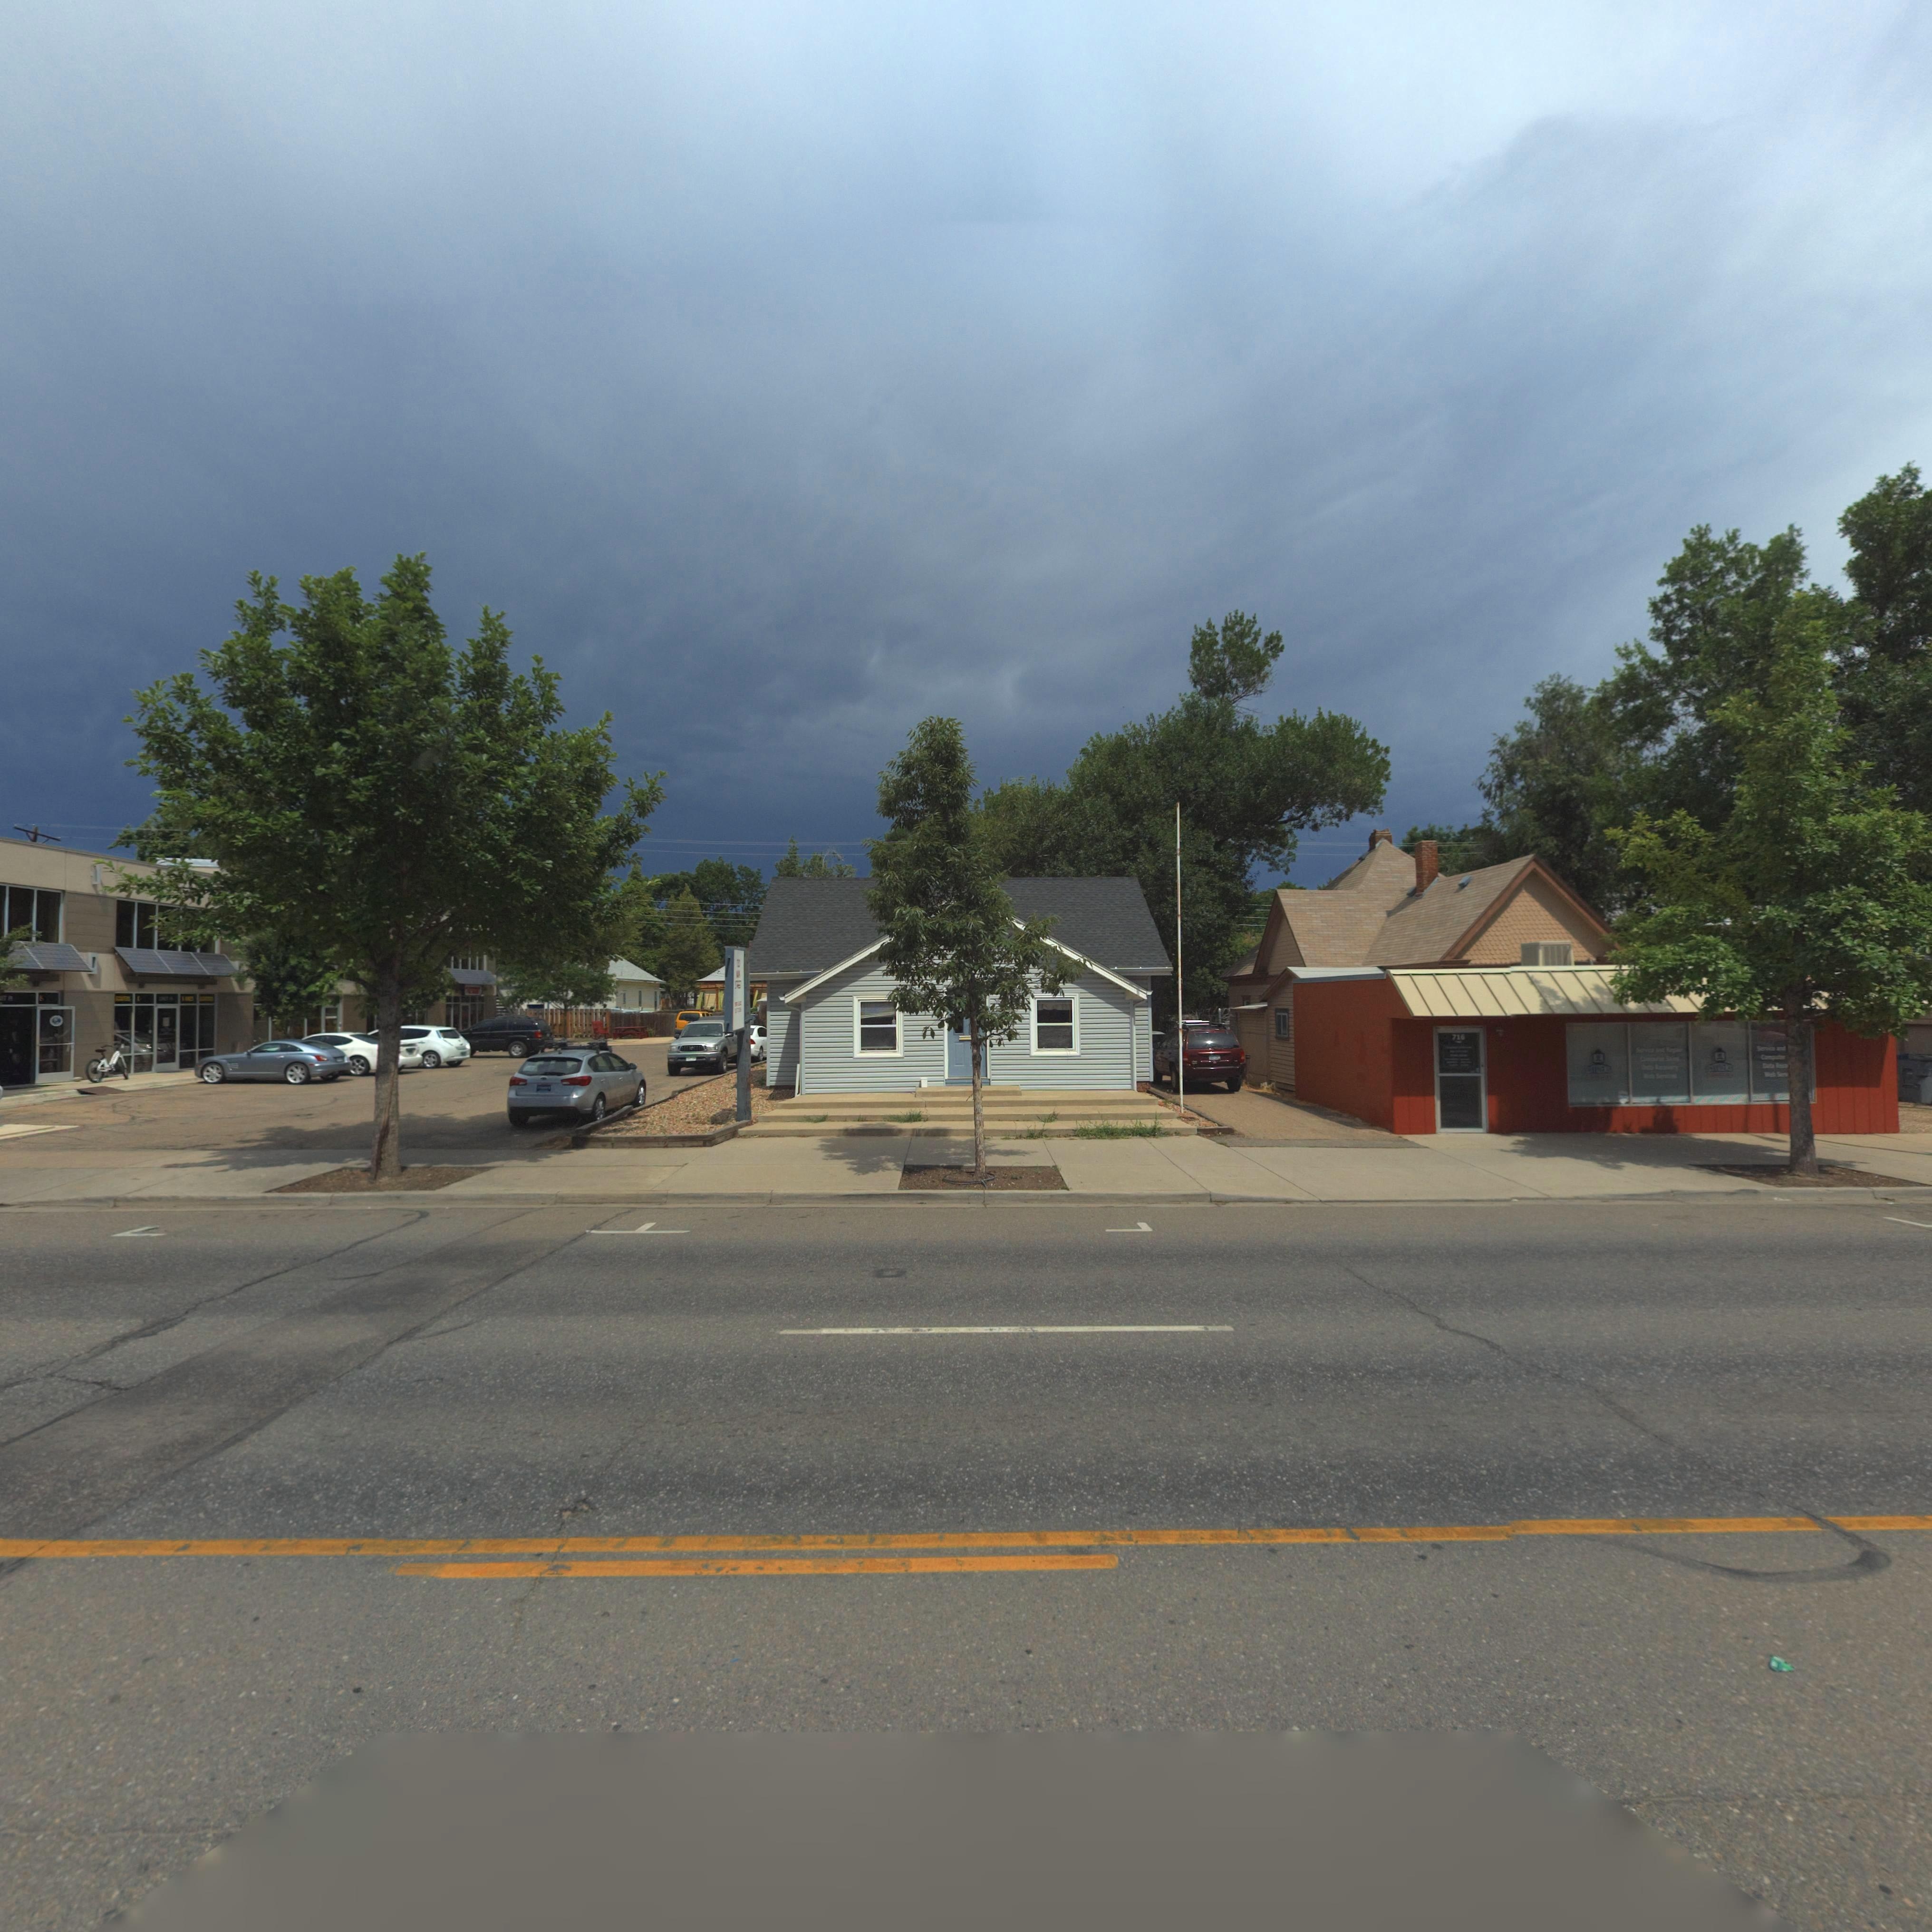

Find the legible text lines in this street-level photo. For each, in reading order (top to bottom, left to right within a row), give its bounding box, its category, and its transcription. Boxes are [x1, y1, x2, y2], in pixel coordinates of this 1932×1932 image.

[1451, 1034, 1465, 1040] StreetNumber: 716